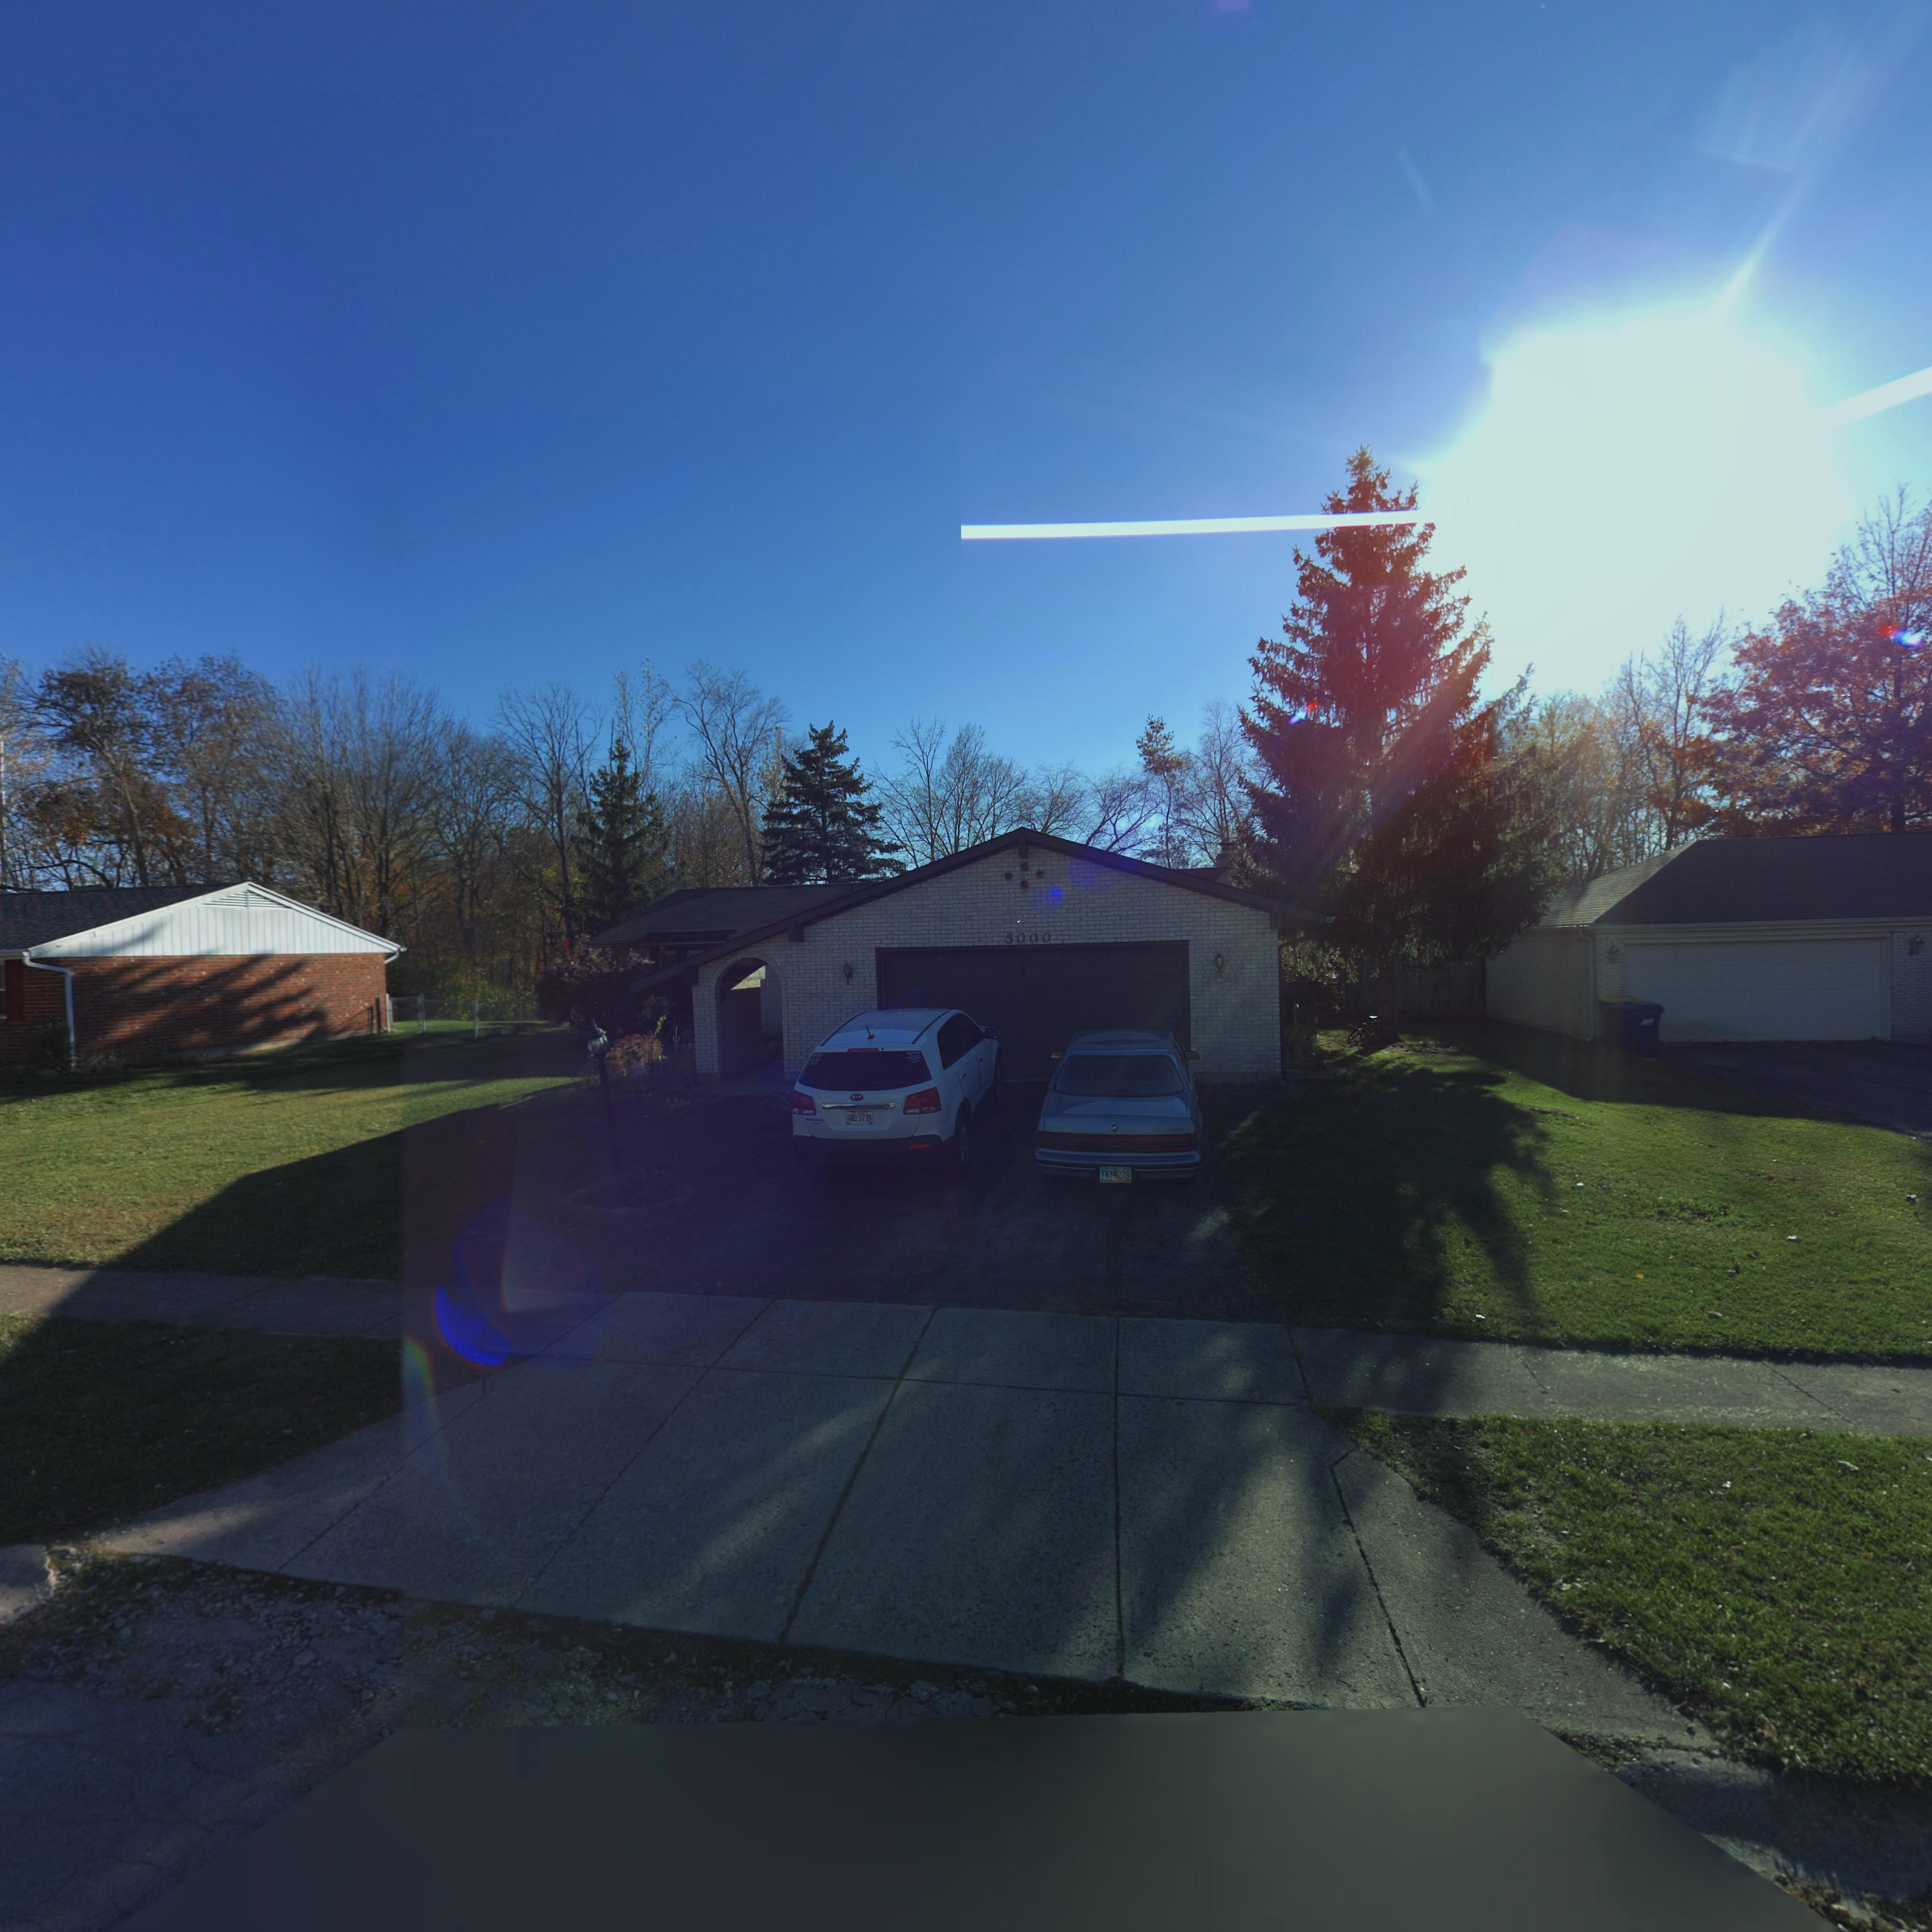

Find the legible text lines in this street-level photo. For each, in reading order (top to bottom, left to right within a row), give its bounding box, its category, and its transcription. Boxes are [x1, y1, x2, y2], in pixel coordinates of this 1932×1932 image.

[1005, 932, 1052, 944] StreetNumber: 5000